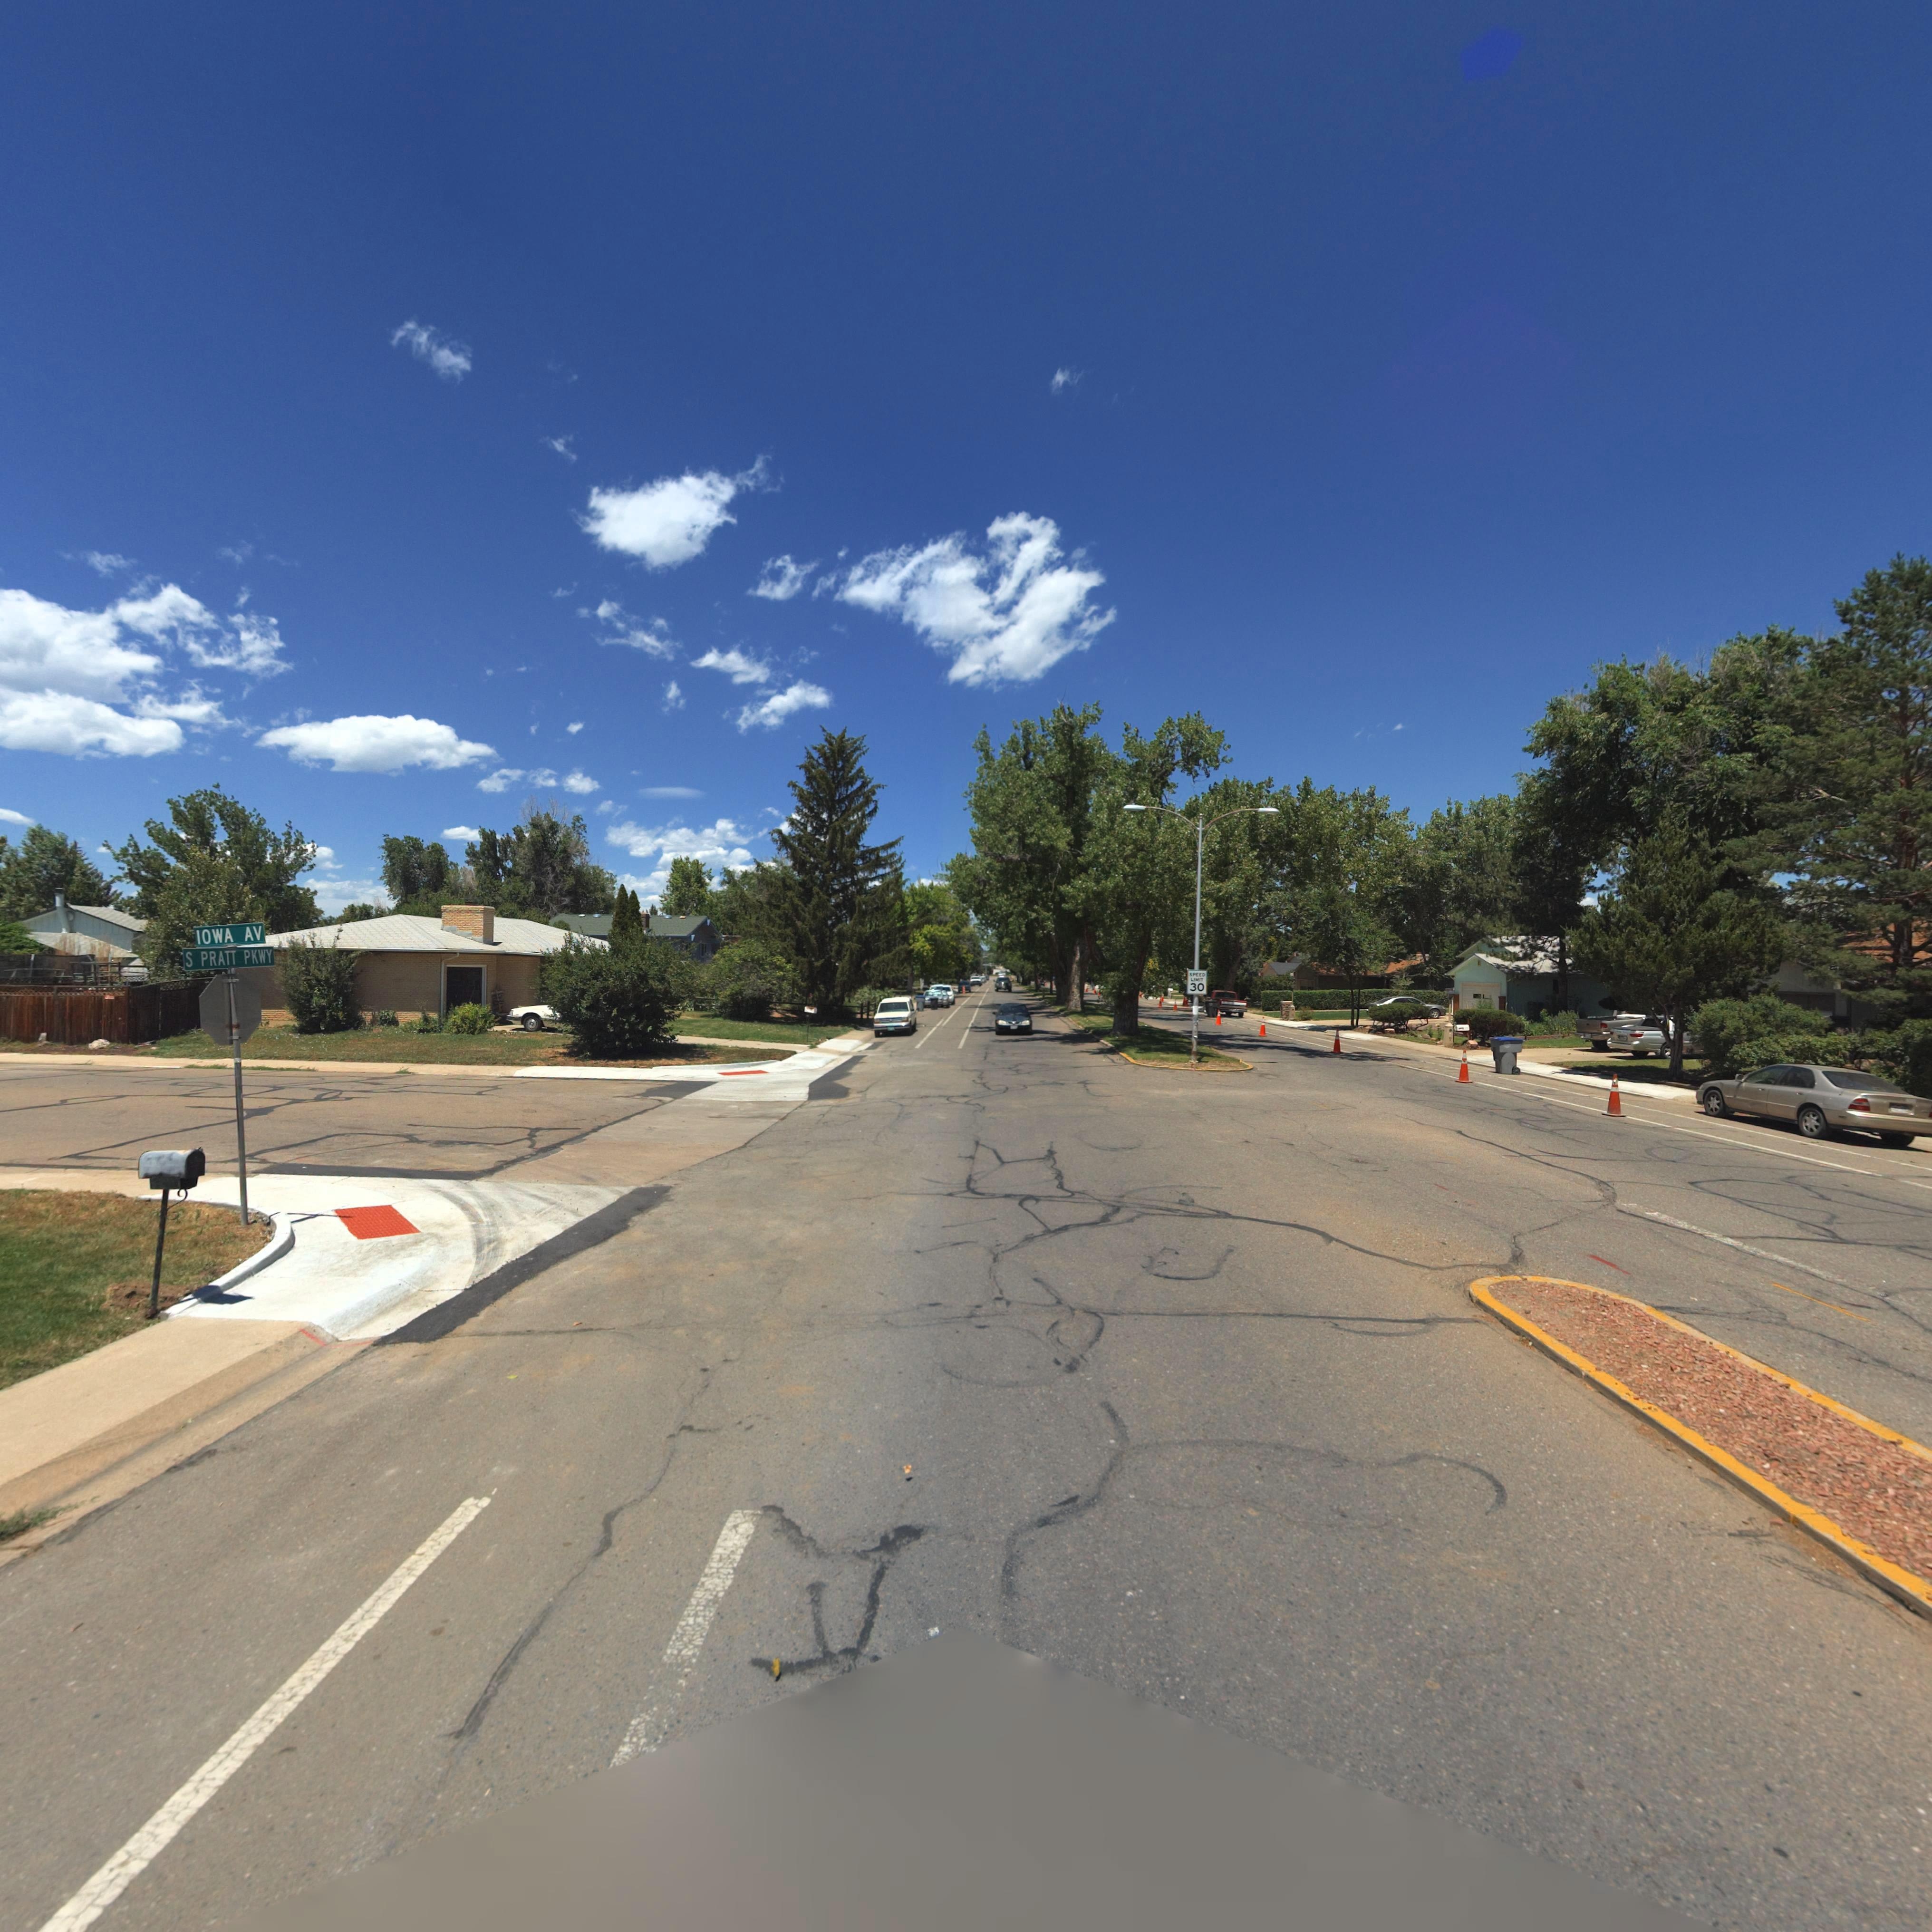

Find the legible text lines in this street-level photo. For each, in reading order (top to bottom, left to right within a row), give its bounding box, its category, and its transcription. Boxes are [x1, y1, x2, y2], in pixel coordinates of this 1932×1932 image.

[195, 925, 262, 945] StreetName: IOWA AV
[184, 948, 272, 968] StreetName: S PRATT PKWY